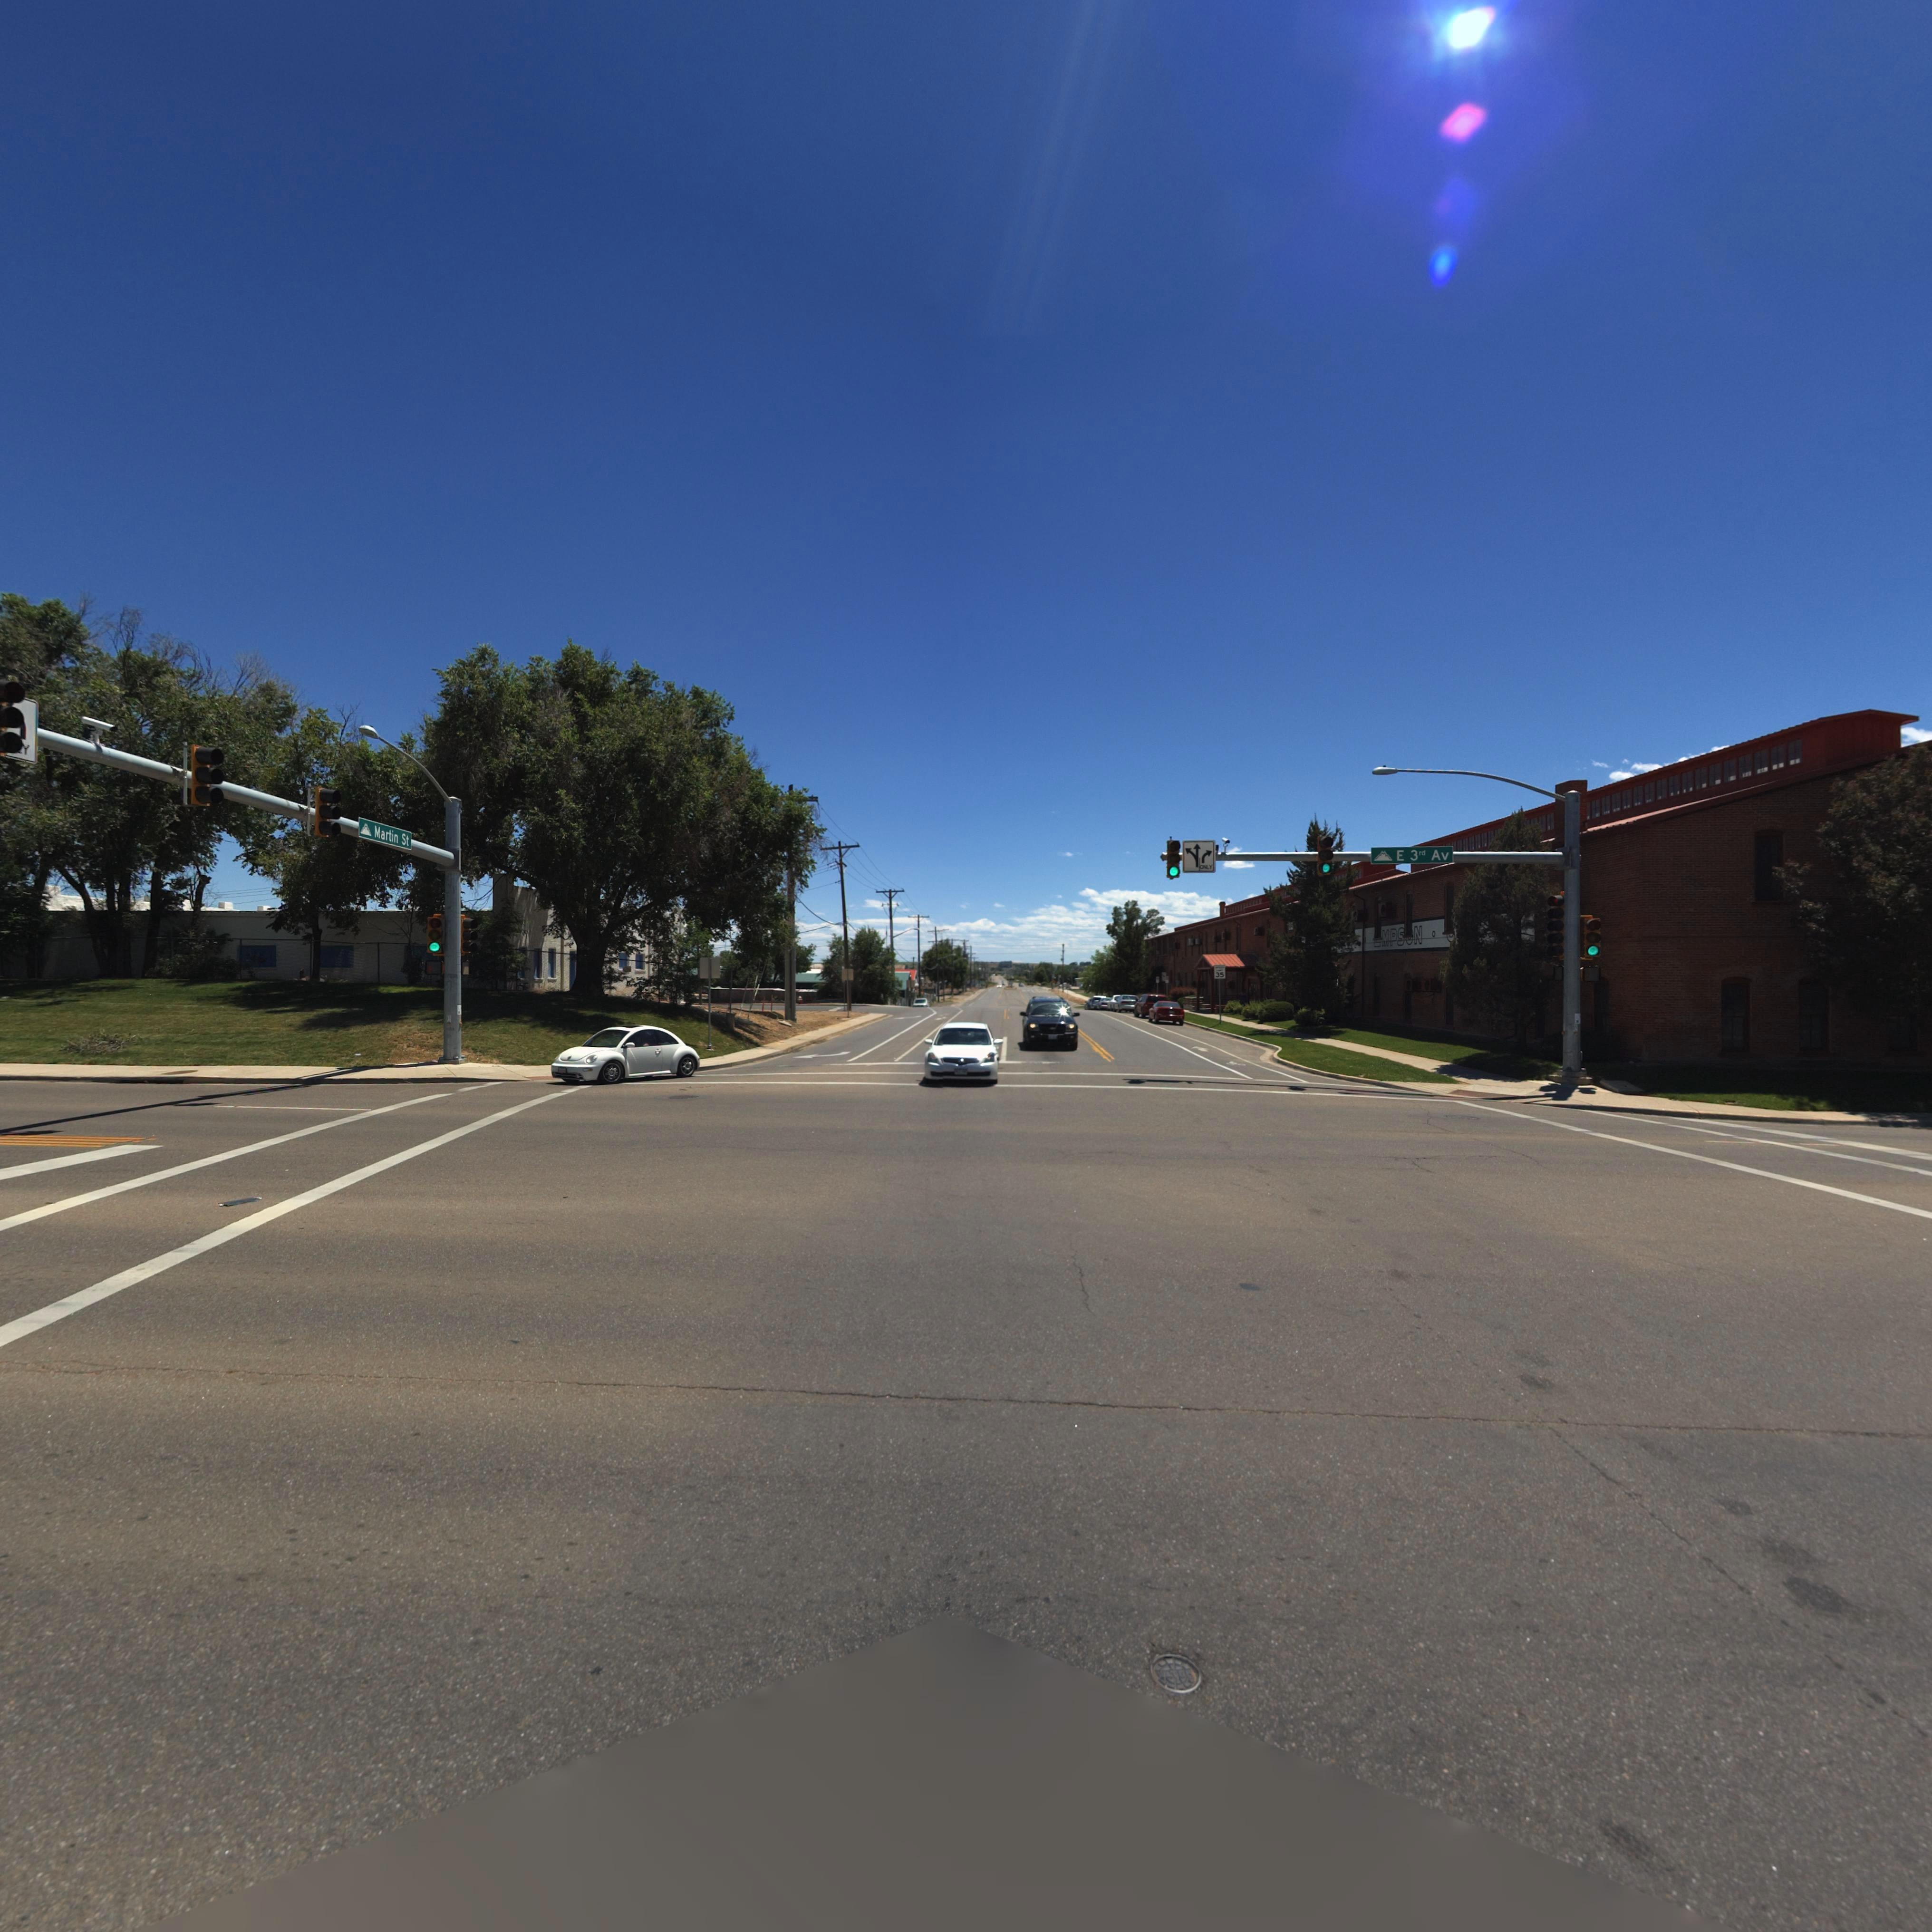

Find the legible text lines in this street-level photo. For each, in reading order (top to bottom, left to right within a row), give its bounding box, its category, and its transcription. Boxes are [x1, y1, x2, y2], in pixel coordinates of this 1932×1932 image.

[374, 824, 409, 847] StreetName: Martin St
[1396, 849, 1449, 861] StreetName: E 3rd Av
[1373, 925, 1423, 947] BusinessName: *MPS*N